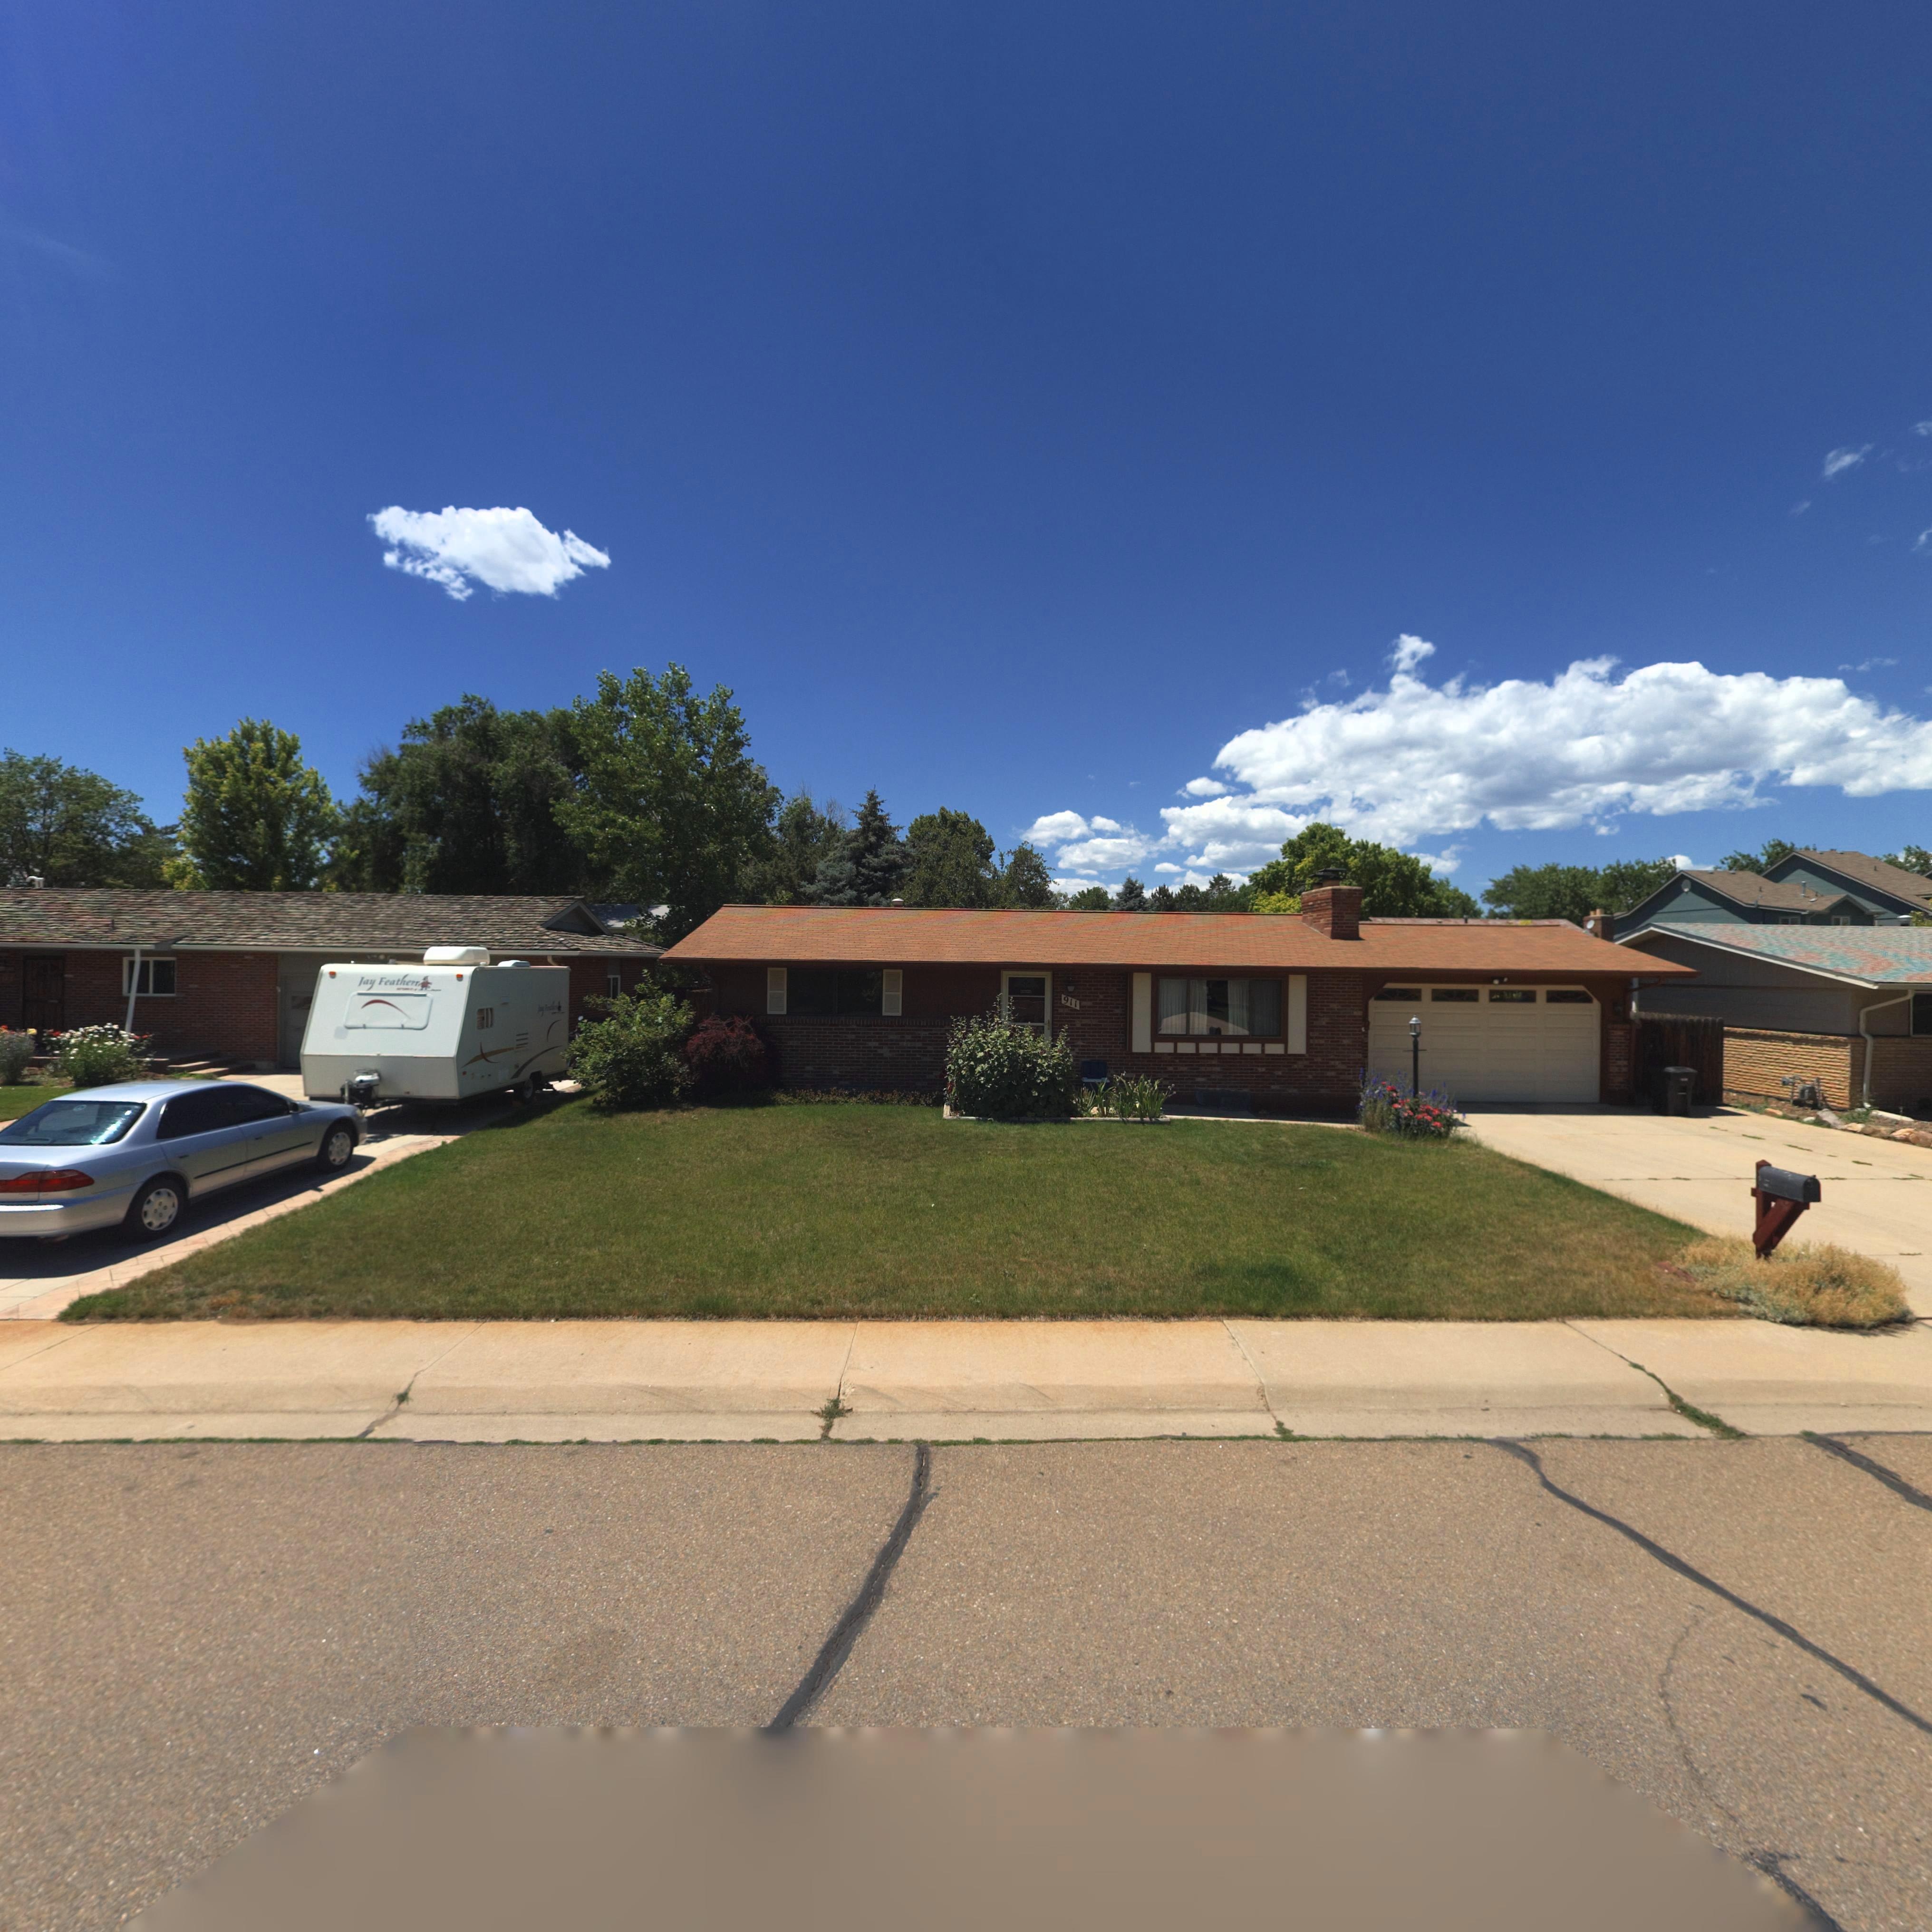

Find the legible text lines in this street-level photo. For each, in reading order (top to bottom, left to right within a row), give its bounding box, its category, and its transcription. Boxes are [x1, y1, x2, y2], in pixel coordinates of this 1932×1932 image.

[1063, 995, 1077, 1007] StreetNumber: 911